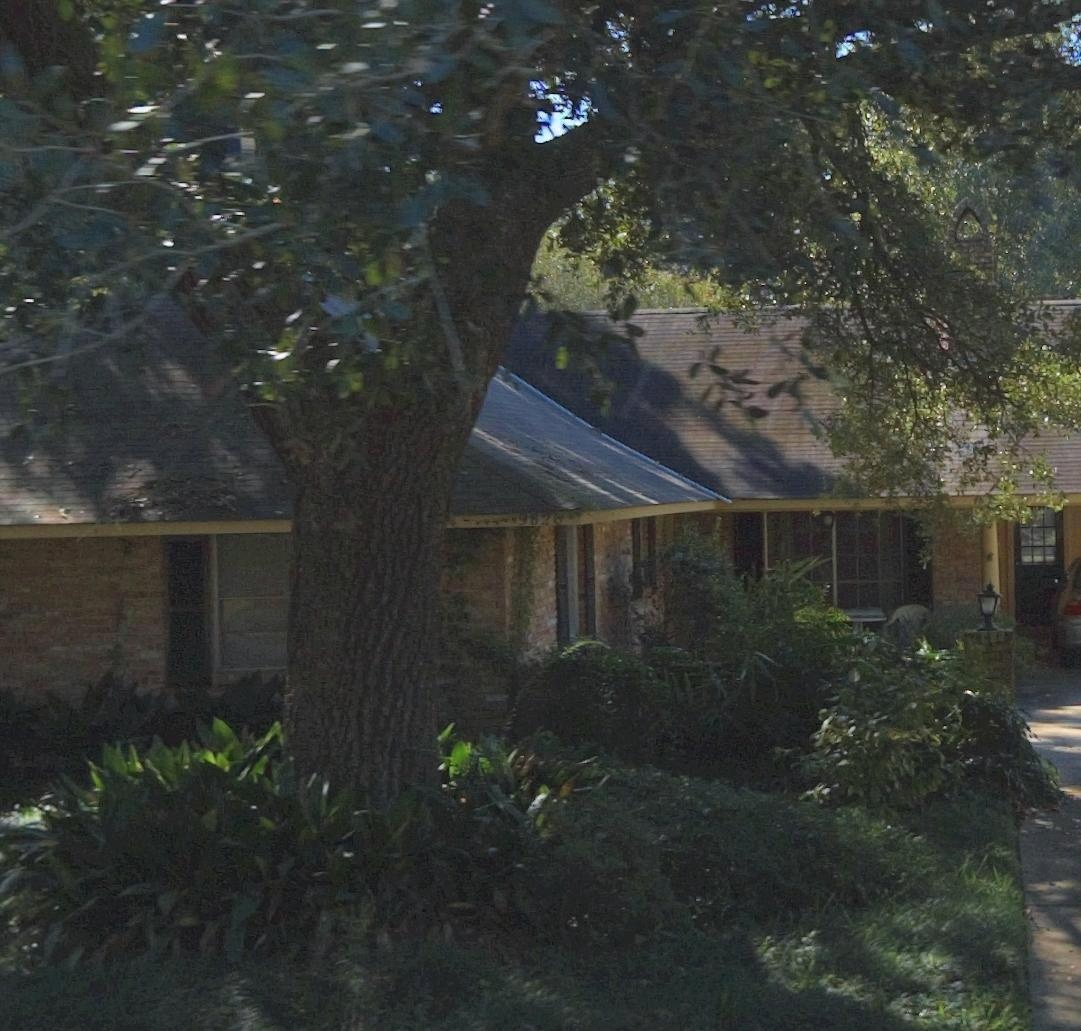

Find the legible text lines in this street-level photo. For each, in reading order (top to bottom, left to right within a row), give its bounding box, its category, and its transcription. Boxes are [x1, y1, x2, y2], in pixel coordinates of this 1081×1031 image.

[517, 510, 565, 528] StreetNumber: 9826